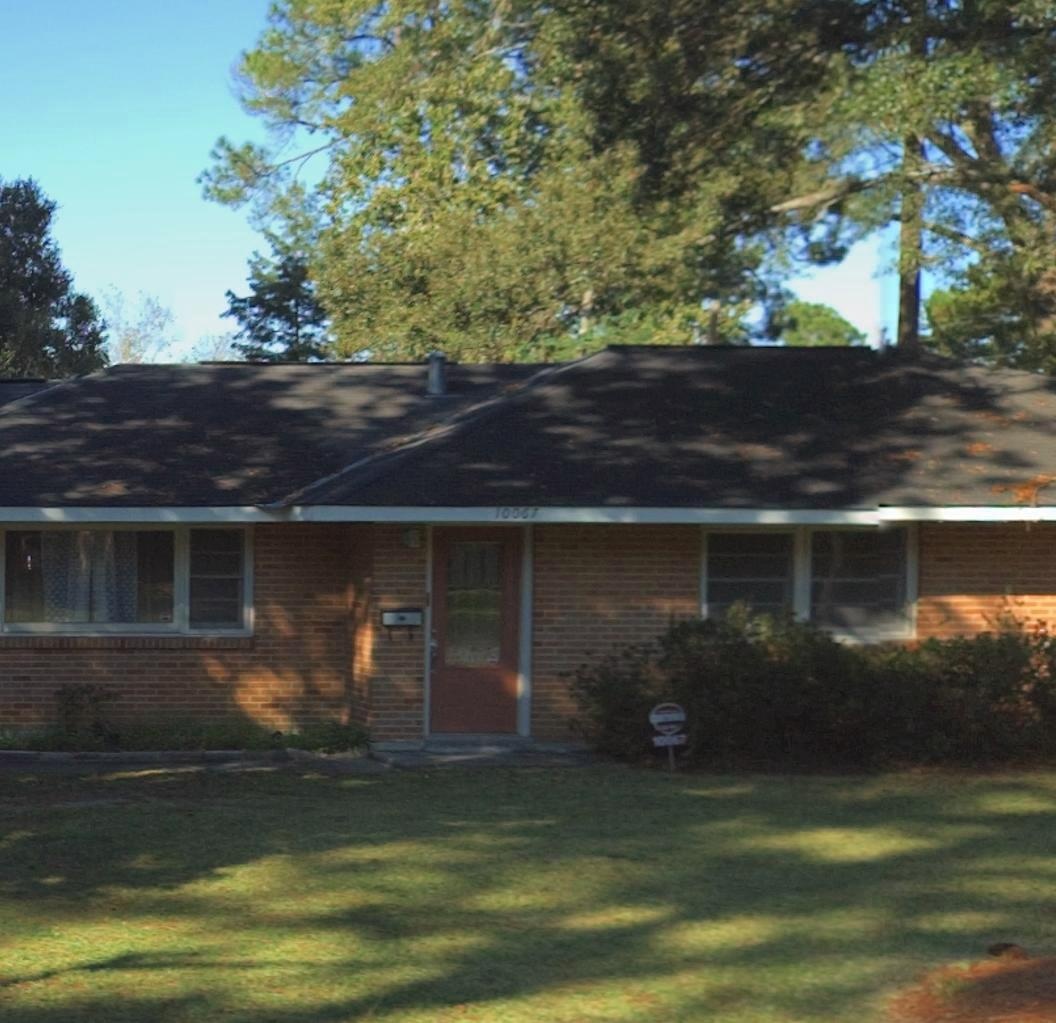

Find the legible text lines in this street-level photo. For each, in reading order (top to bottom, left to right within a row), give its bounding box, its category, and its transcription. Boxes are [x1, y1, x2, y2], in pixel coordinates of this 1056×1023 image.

[492, 506, 541, 520] StreetNumber: 10067
[651, 734, 687, 748] StreetNumber: 10067